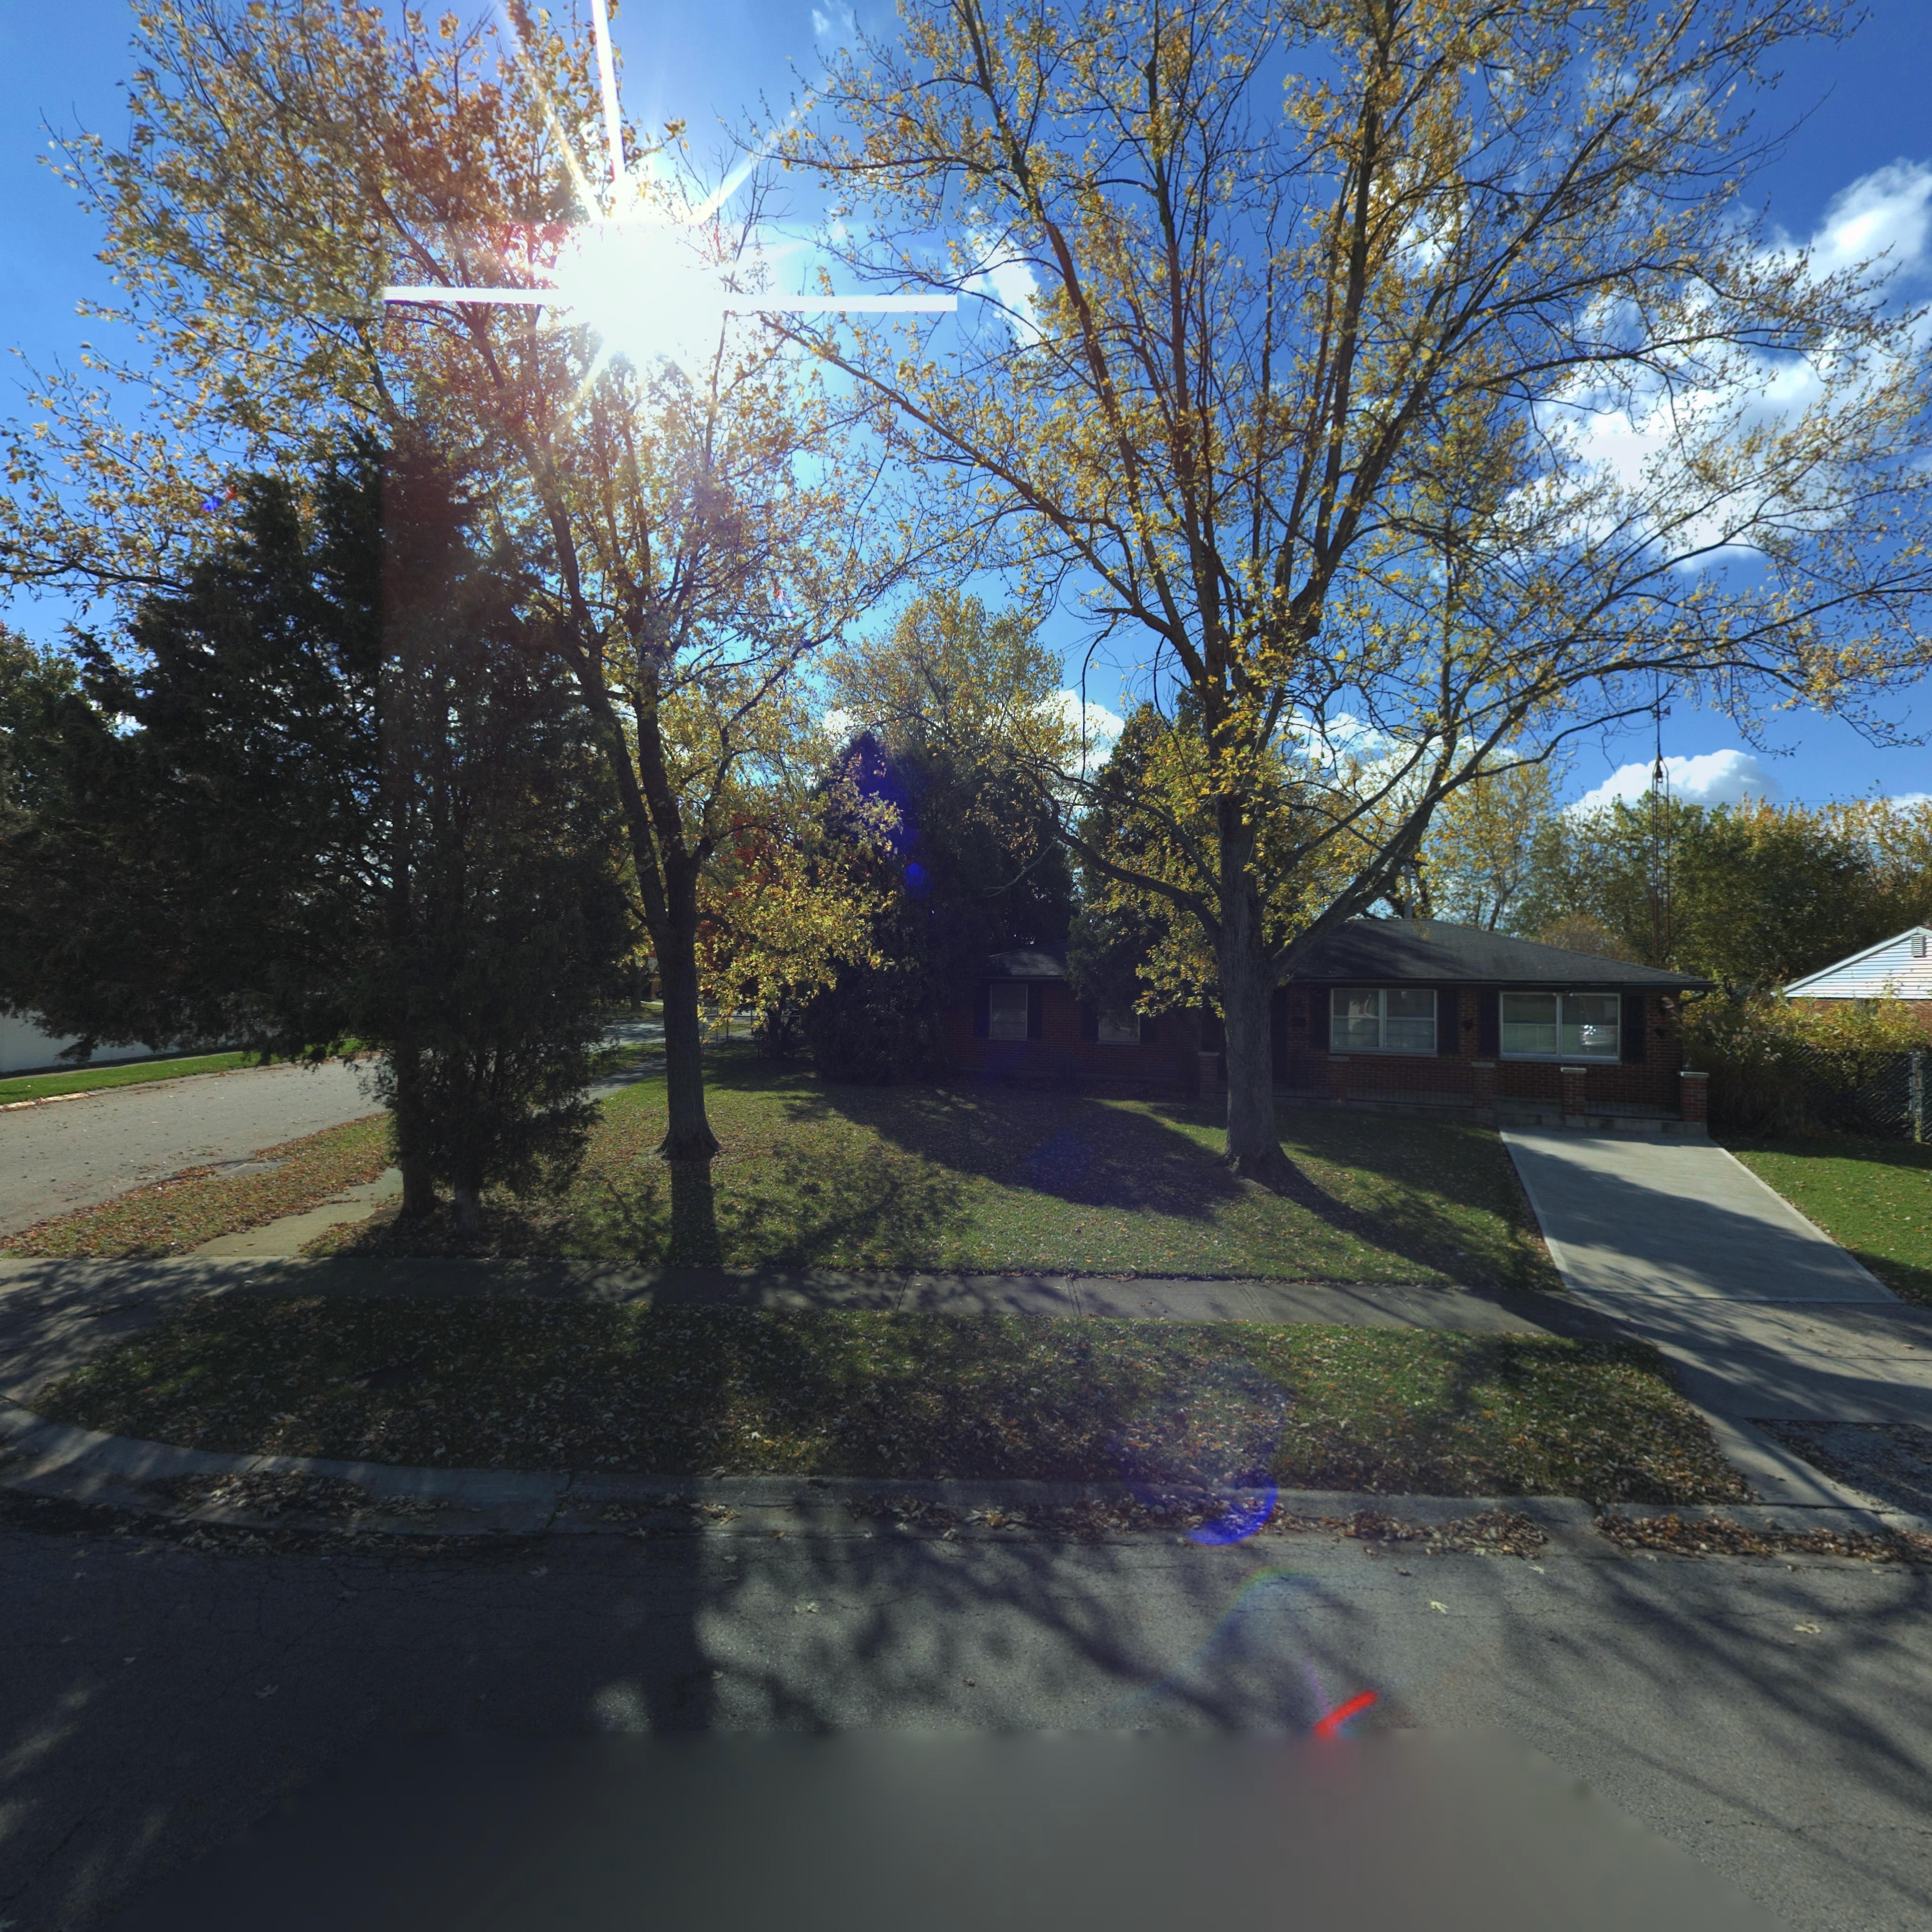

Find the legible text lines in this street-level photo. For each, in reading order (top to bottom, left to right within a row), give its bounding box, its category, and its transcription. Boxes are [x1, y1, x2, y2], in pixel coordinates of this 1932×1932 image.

[1286, 1032, 1309, 1042] StreetNumber: 6*3*